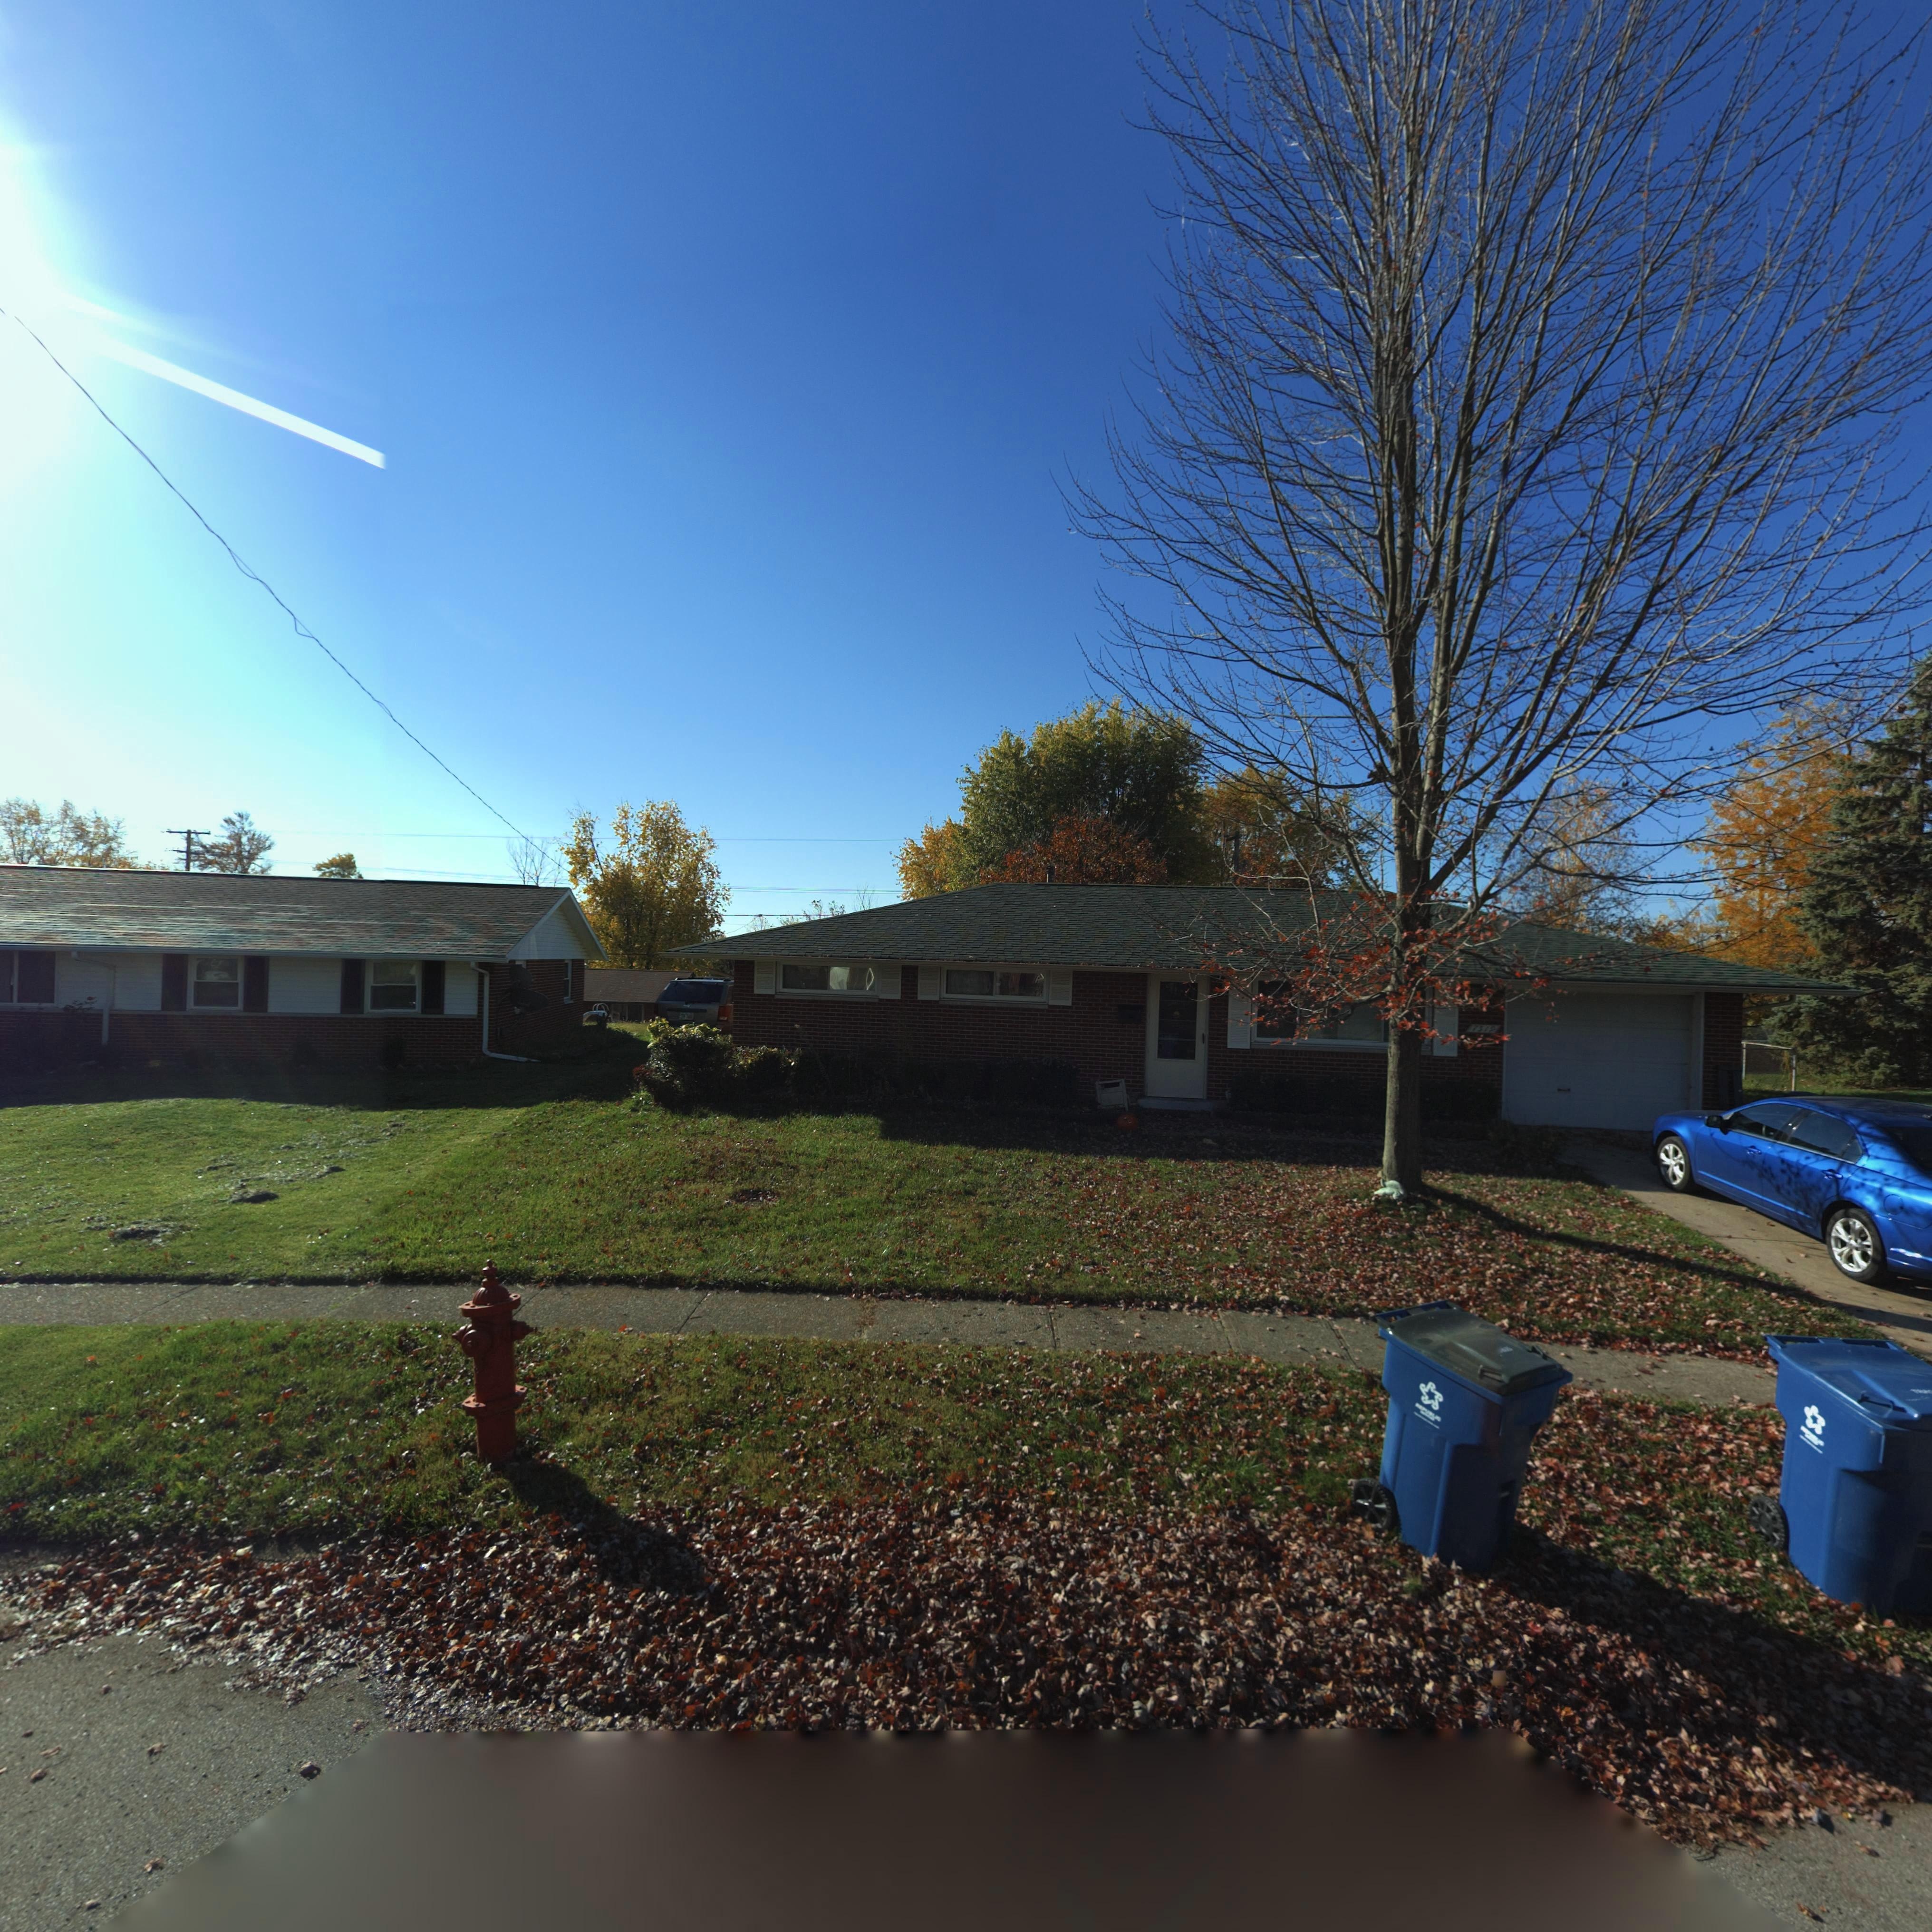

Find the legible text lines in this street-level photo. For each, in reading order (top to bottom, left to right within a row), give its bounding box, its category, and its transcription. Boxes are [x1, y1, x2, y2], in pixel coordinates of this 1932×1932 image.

[1471, 1024, 1498, 1033] StreetNumber: 7519